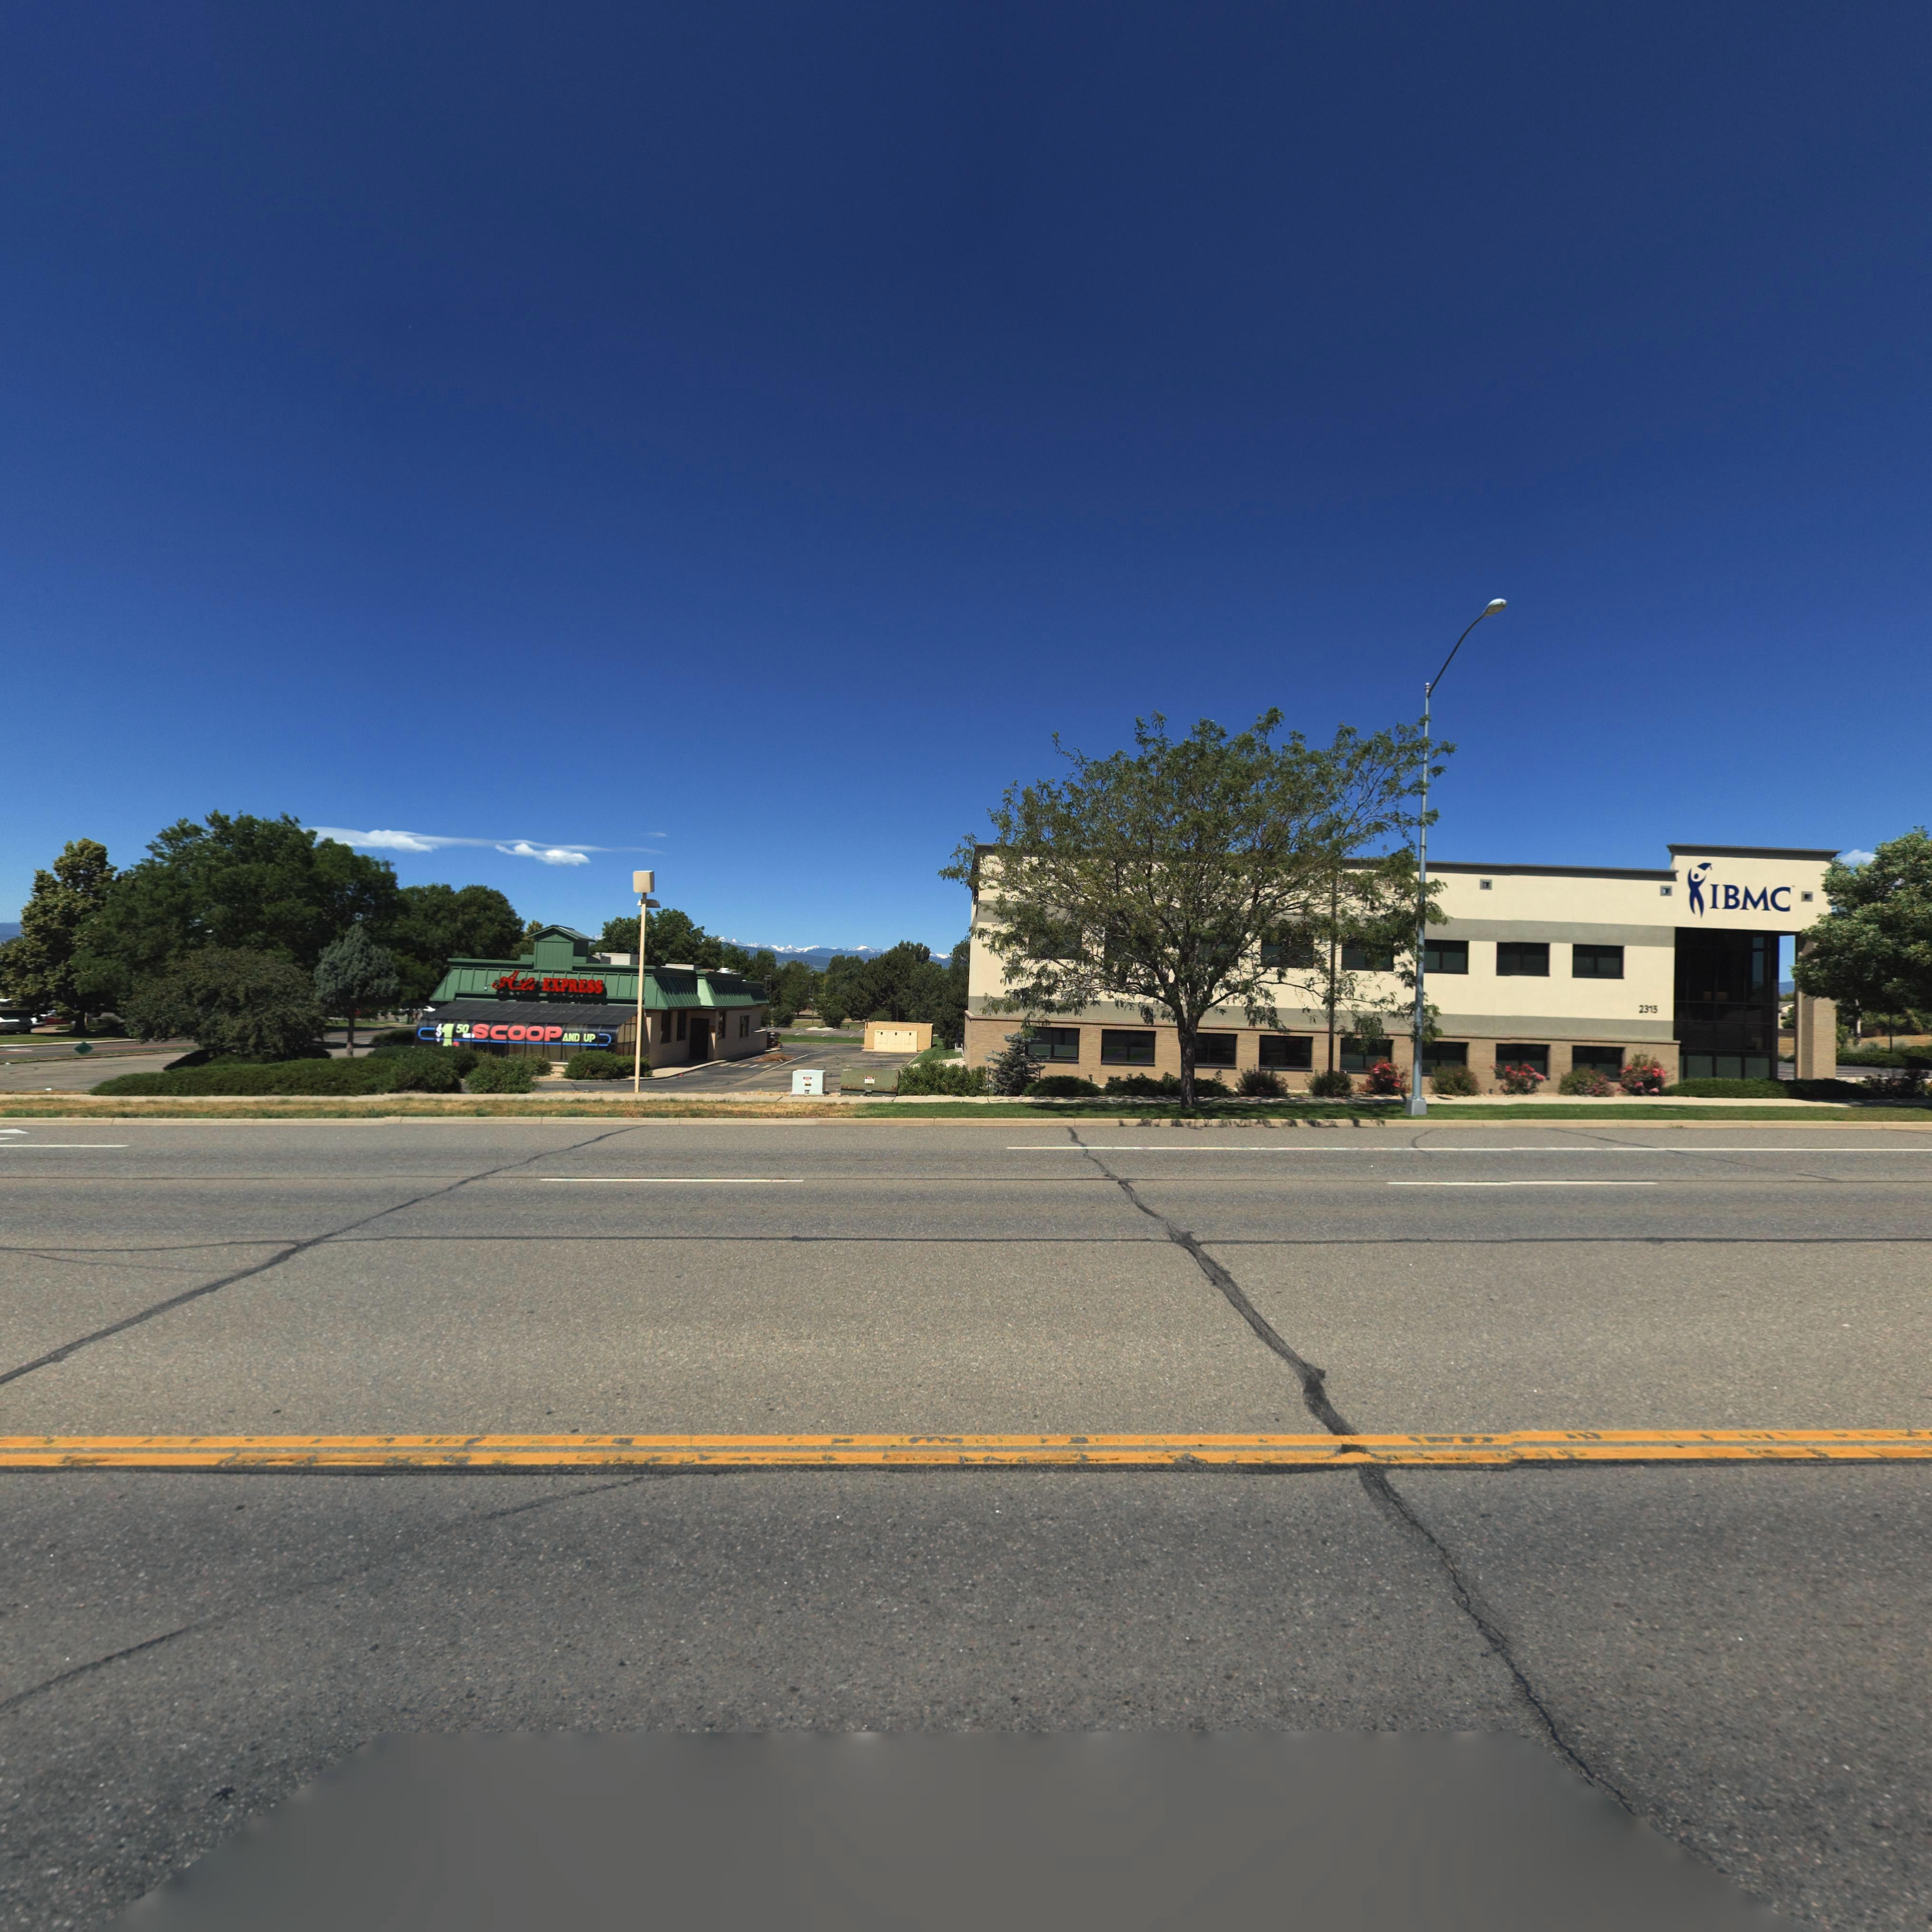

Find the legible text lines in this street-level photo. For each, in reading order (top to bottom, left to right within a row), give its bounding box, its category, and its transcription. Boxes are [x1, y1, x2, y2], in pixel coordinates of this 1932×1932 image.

[491, 969, 538, 991] BusinessName: ALi
[541, 977, 604, 994] BusinessName: EXPRESS
[1638, 1004, 1658, 1013] StreetNumber: 2315